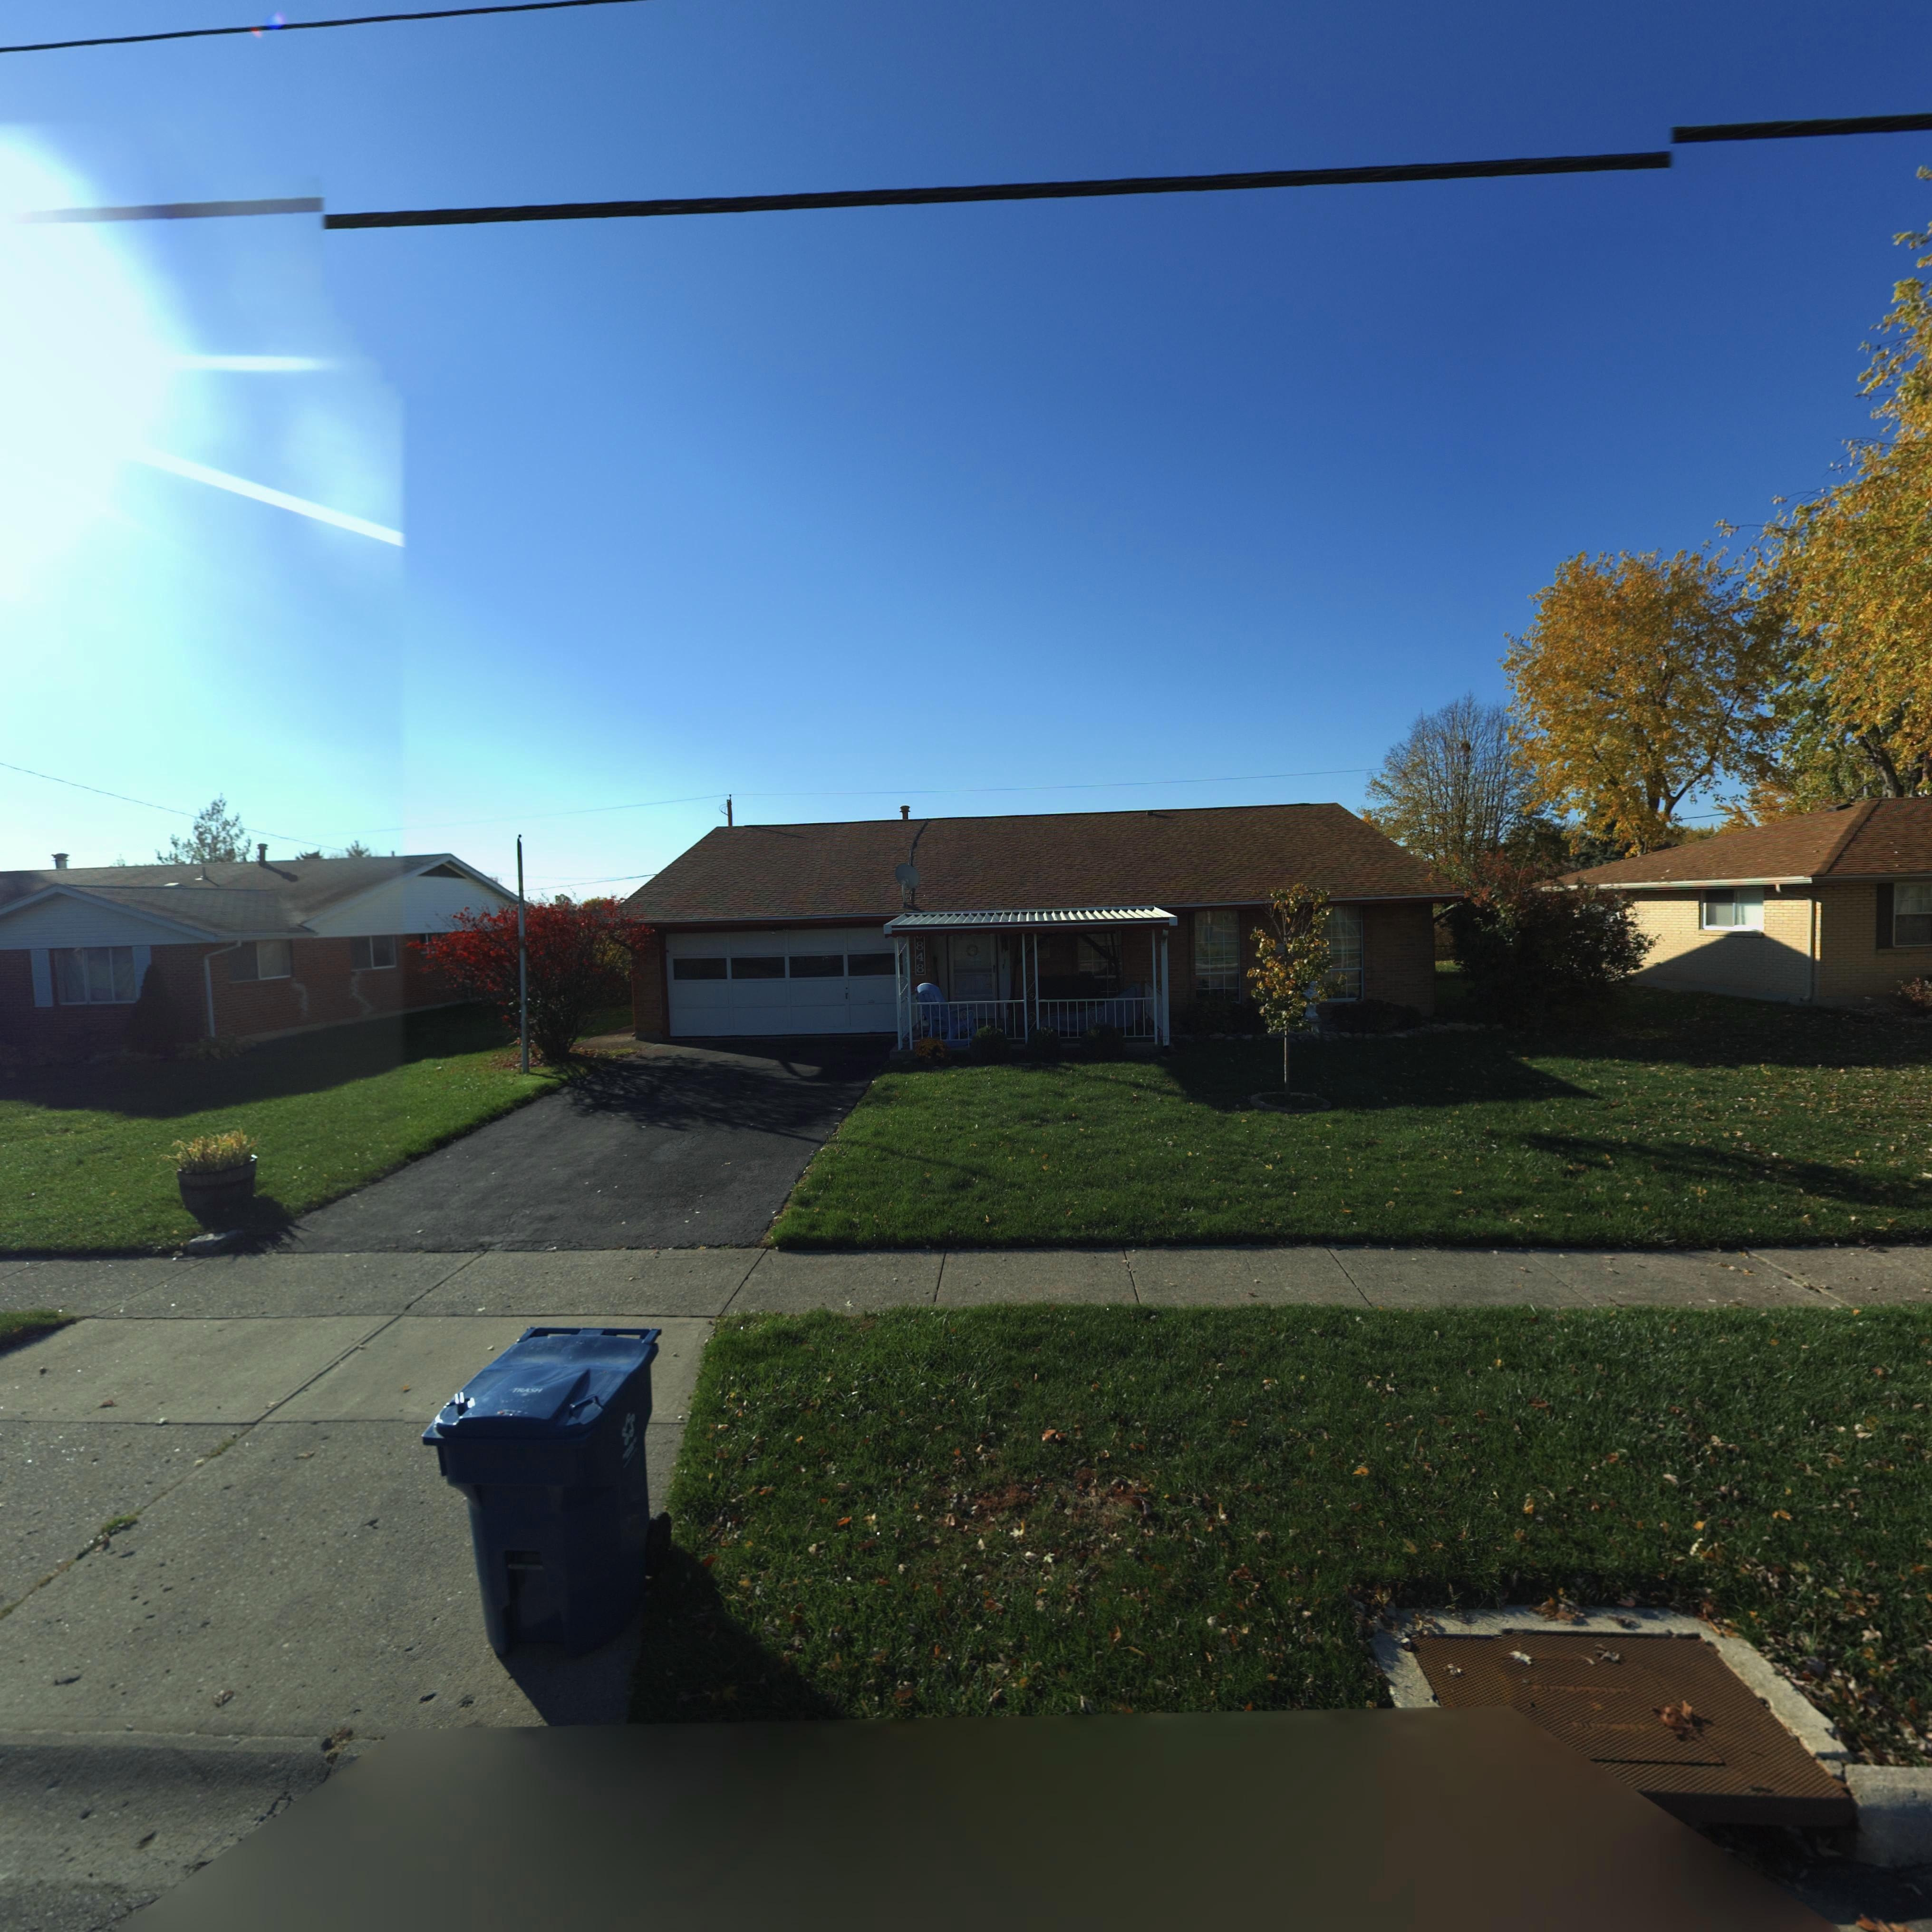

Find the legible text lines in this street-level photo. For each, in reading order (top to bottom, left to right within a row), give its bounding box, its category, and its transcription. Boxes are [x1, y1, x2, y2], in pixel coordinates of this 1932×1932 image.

[916, 941, 924, 973] StreetNumber: 848